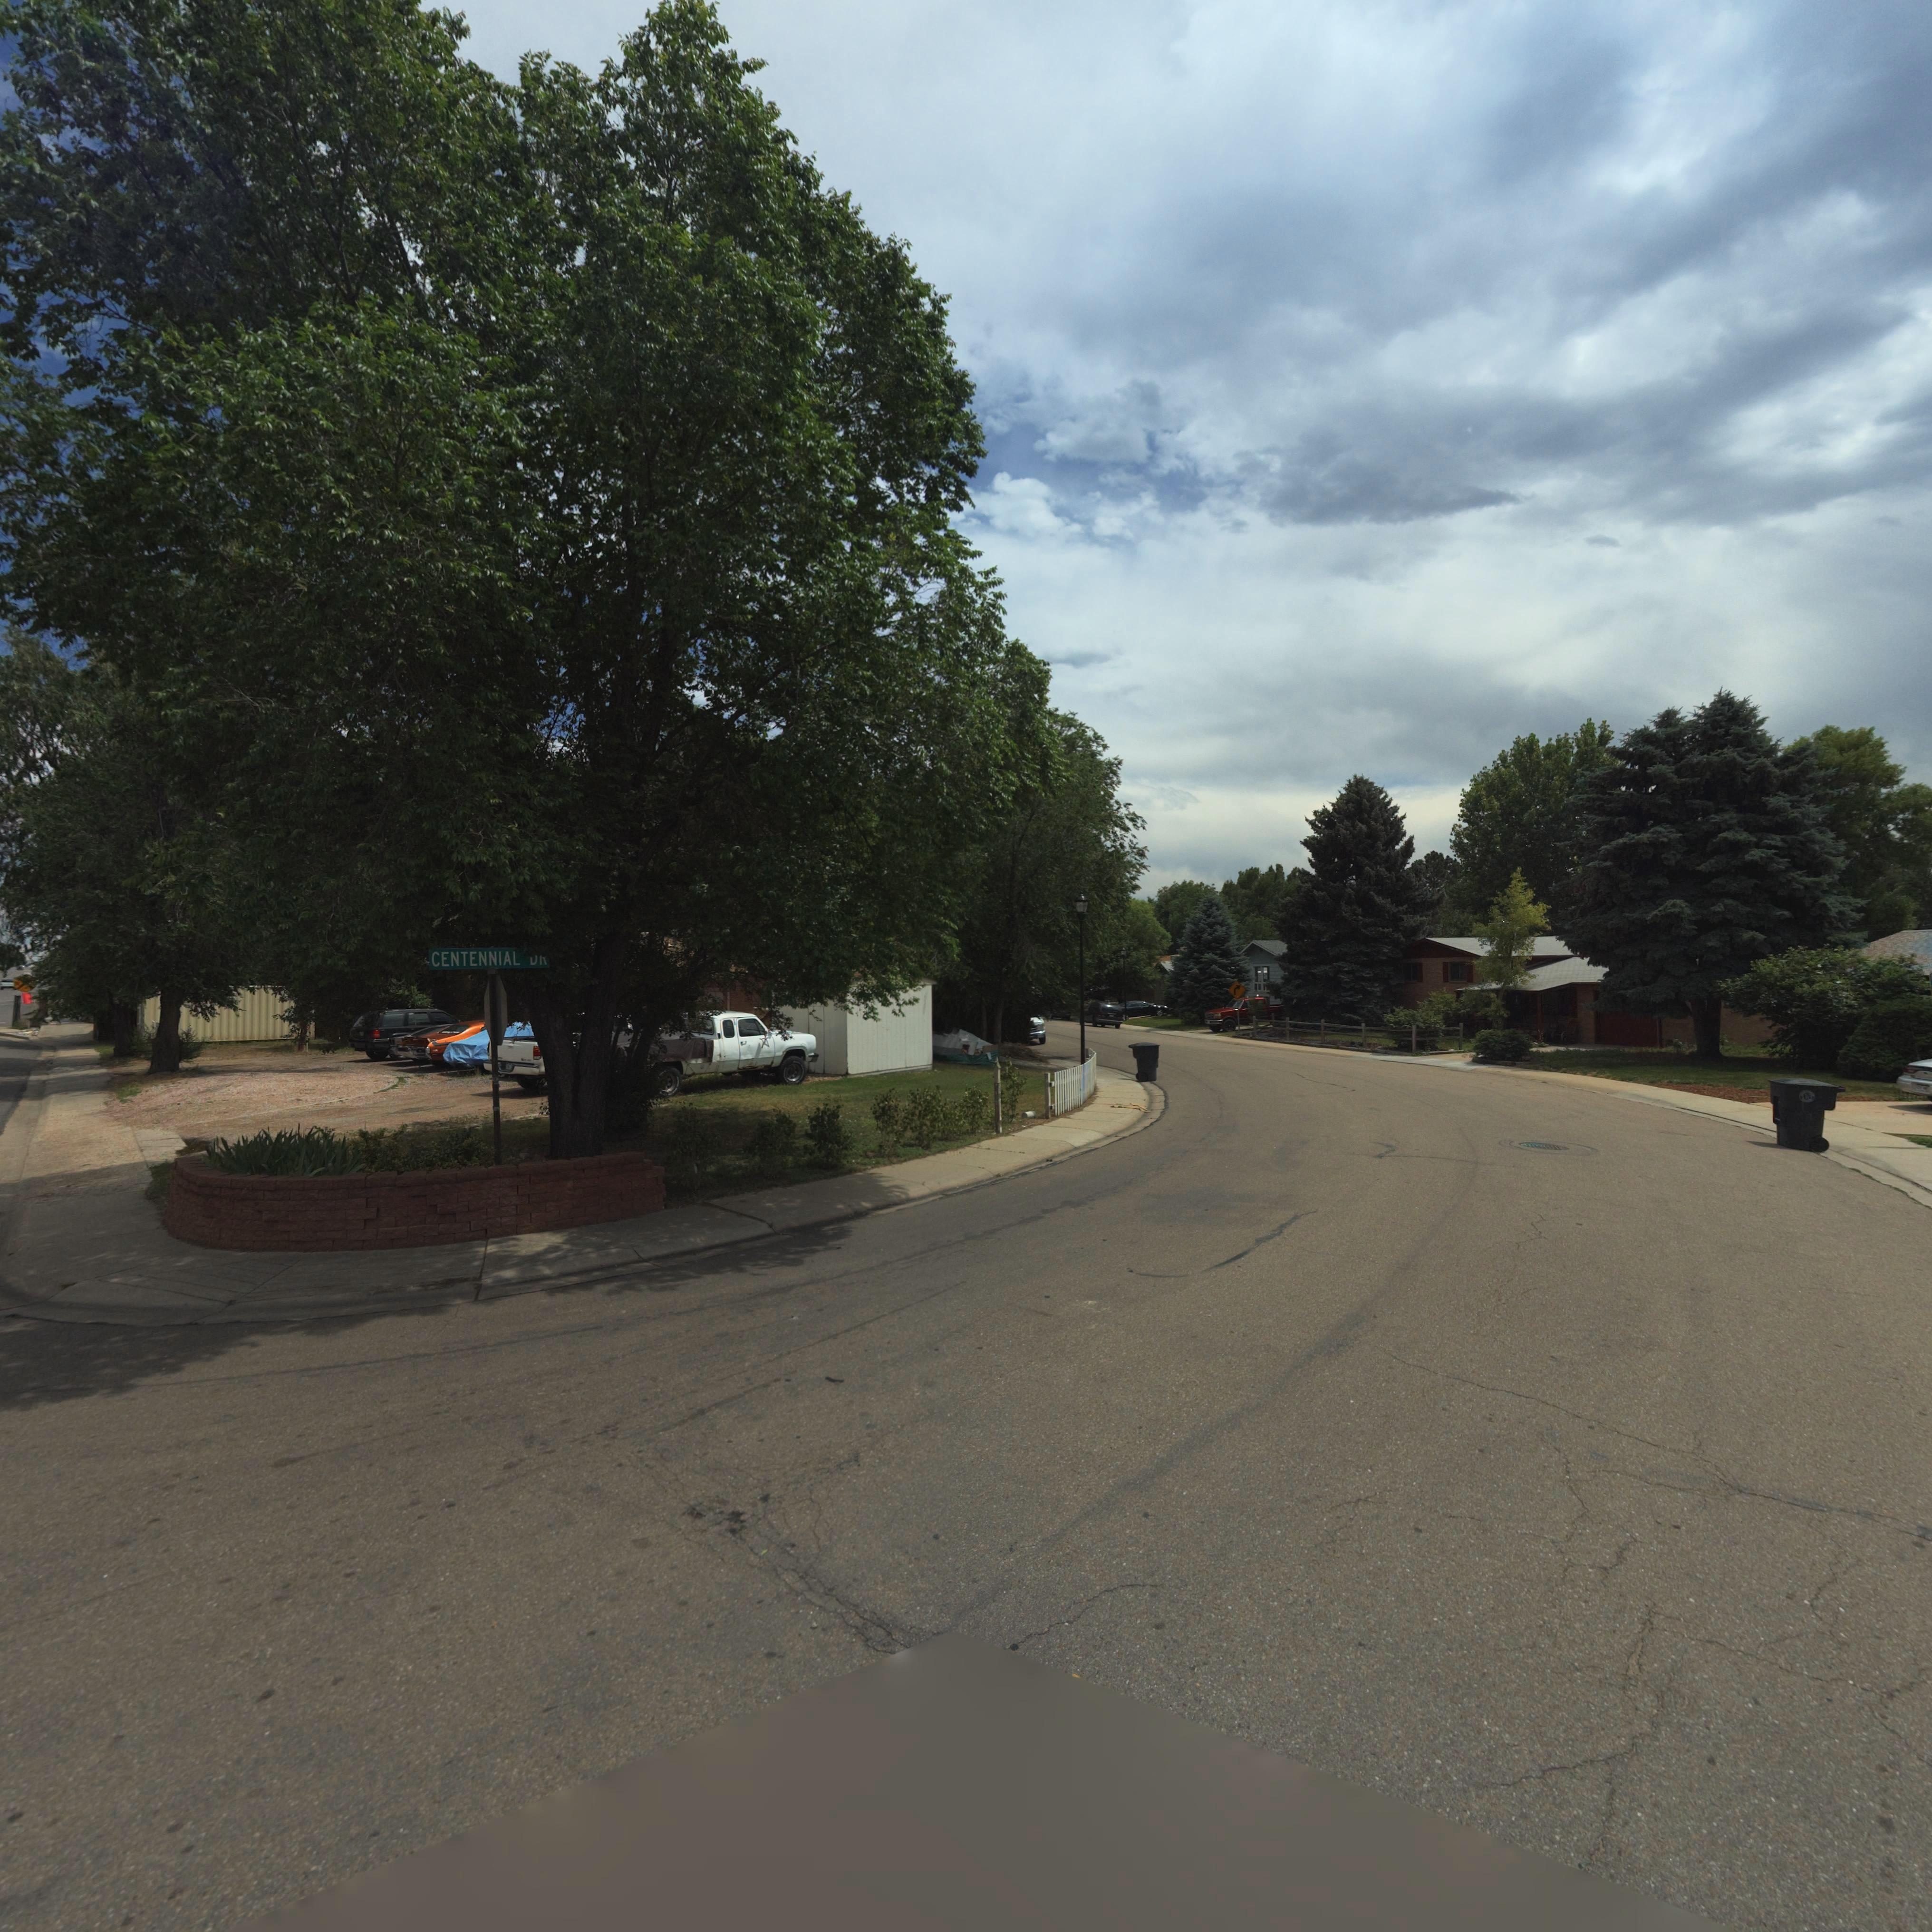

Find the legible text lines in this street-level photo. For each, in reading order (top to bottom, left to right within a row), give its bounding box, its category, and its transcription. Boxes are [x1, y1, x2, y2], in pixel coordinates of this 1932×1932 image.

[431, 950, 521, 967] StreetName: CENTENNIAL